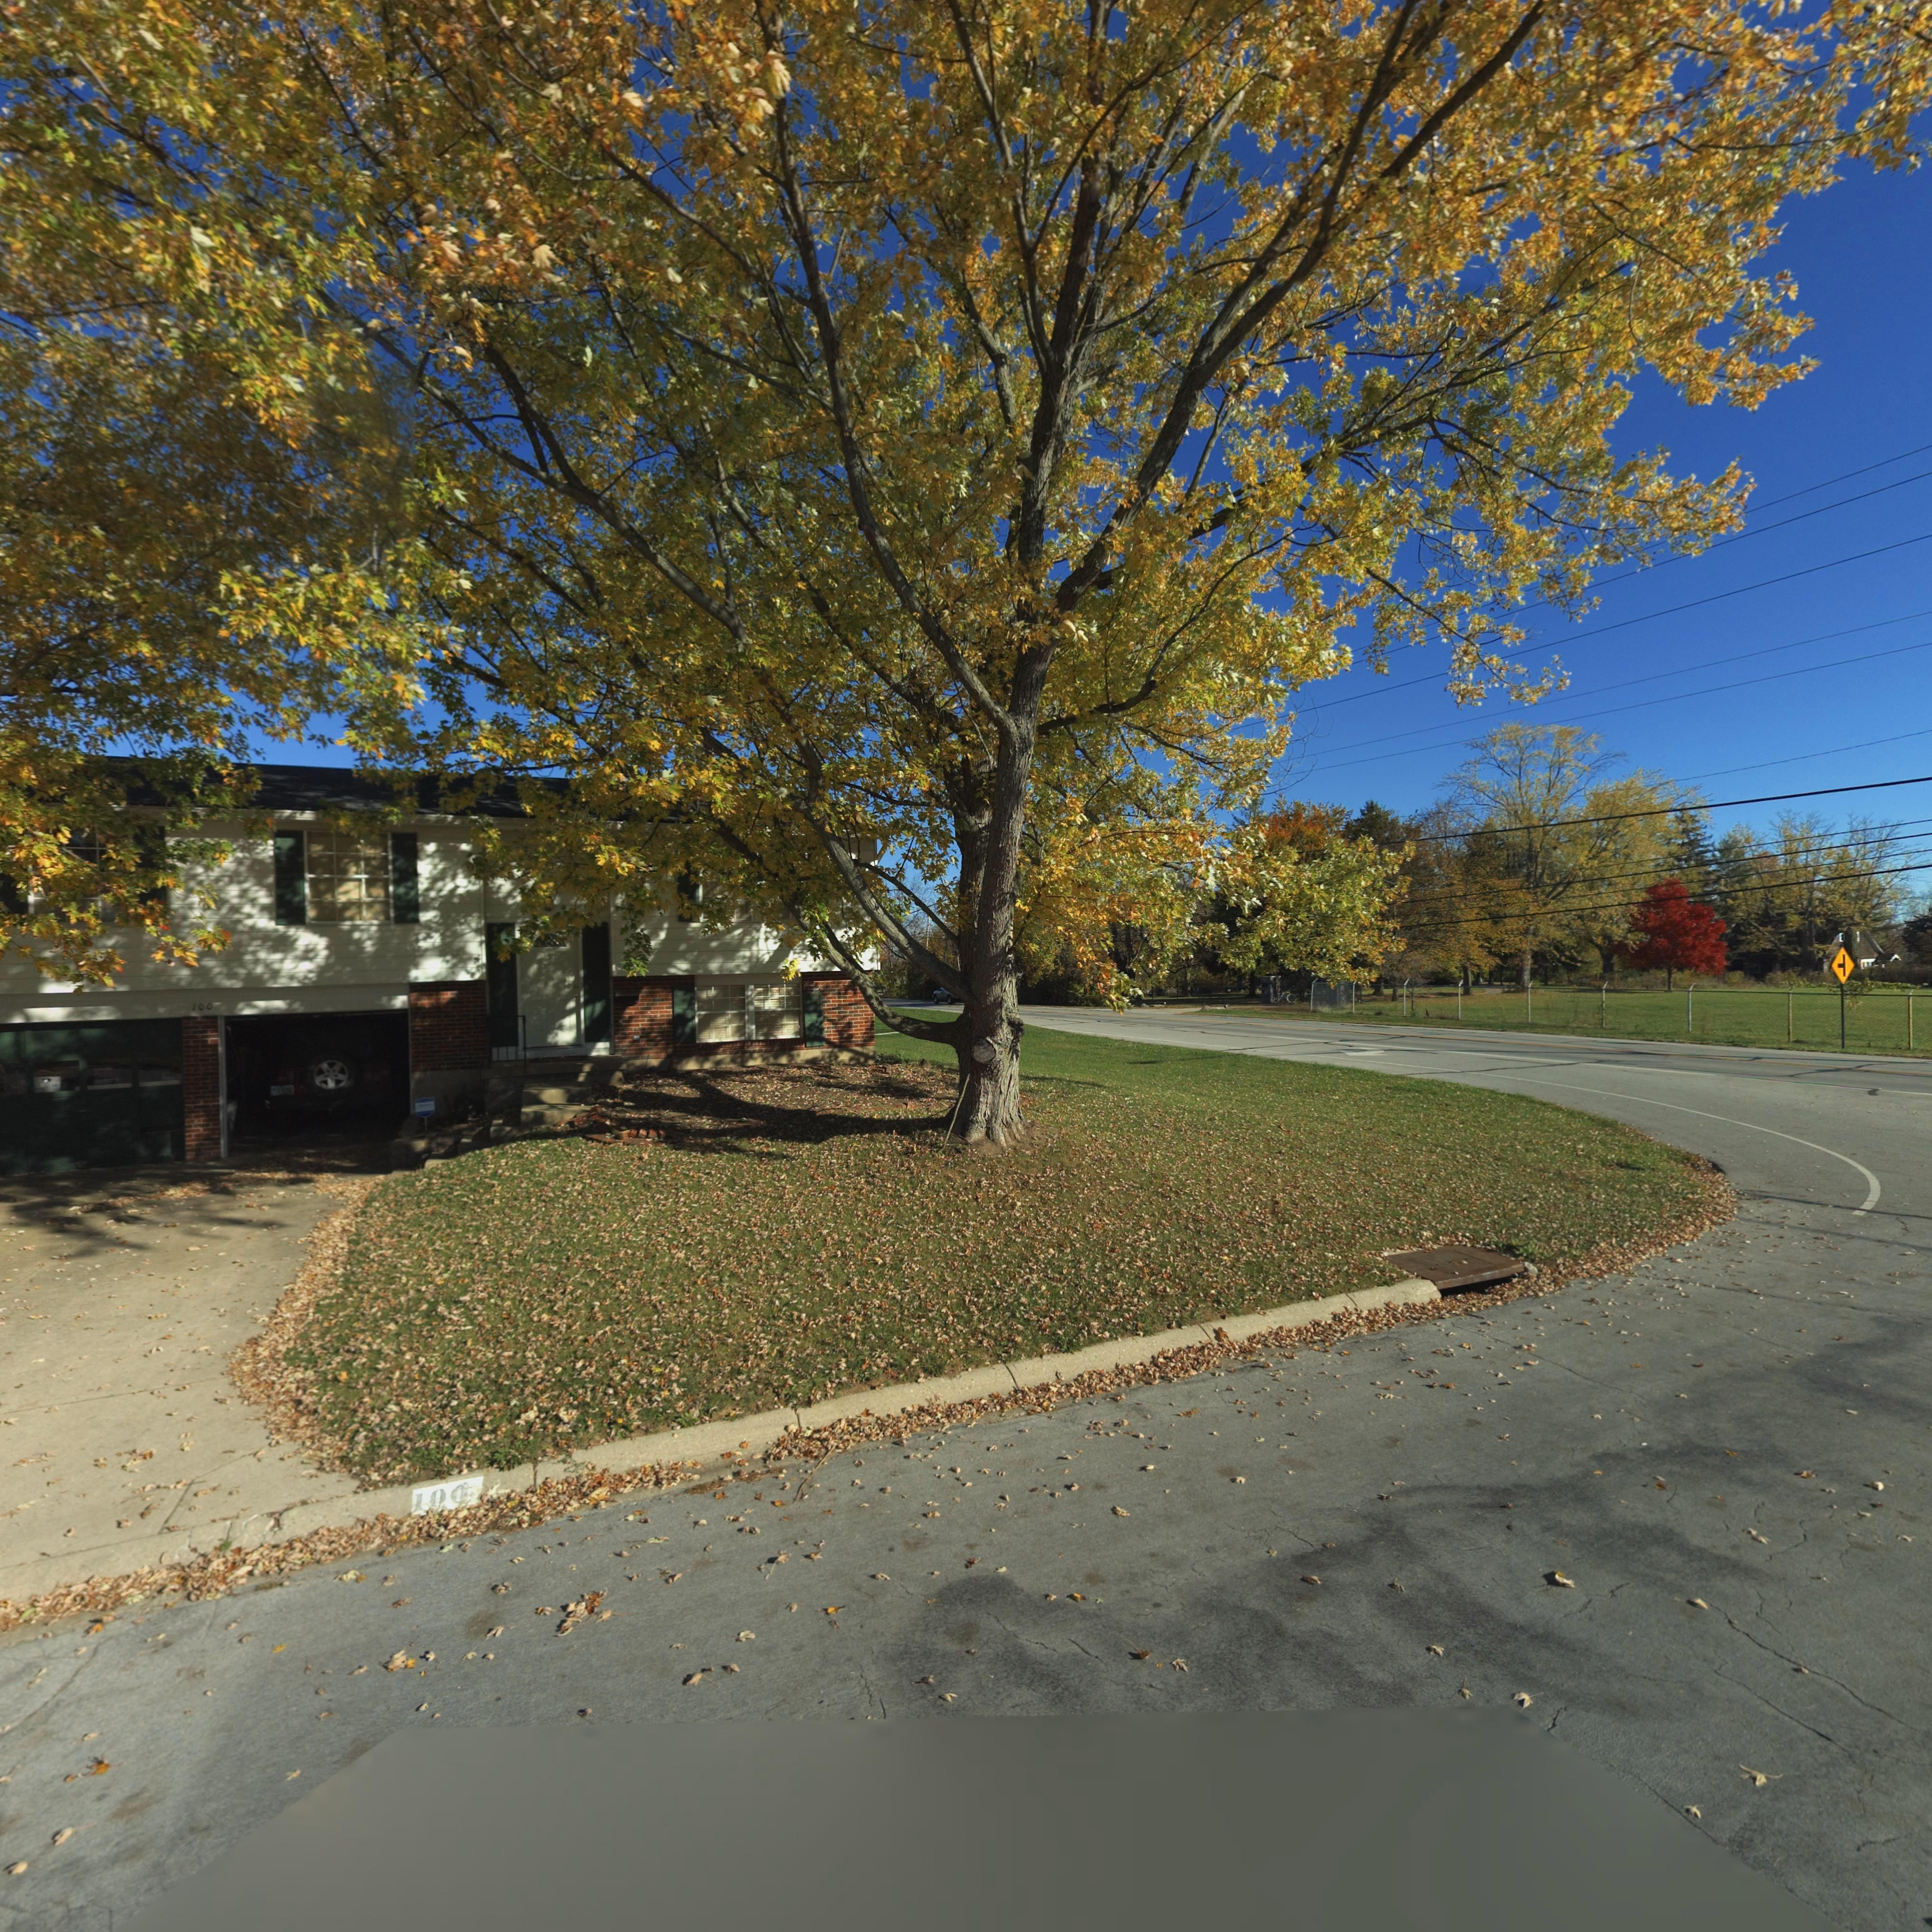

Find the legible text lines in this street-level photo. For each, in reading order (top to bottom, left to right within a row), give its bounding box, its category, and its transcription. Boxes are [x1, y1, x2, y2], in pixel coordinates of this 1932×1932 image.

[191, 1002, 213, 1012] StreetNumber: 100
[411, 1484, 469, 1514] StreetNumber: 100